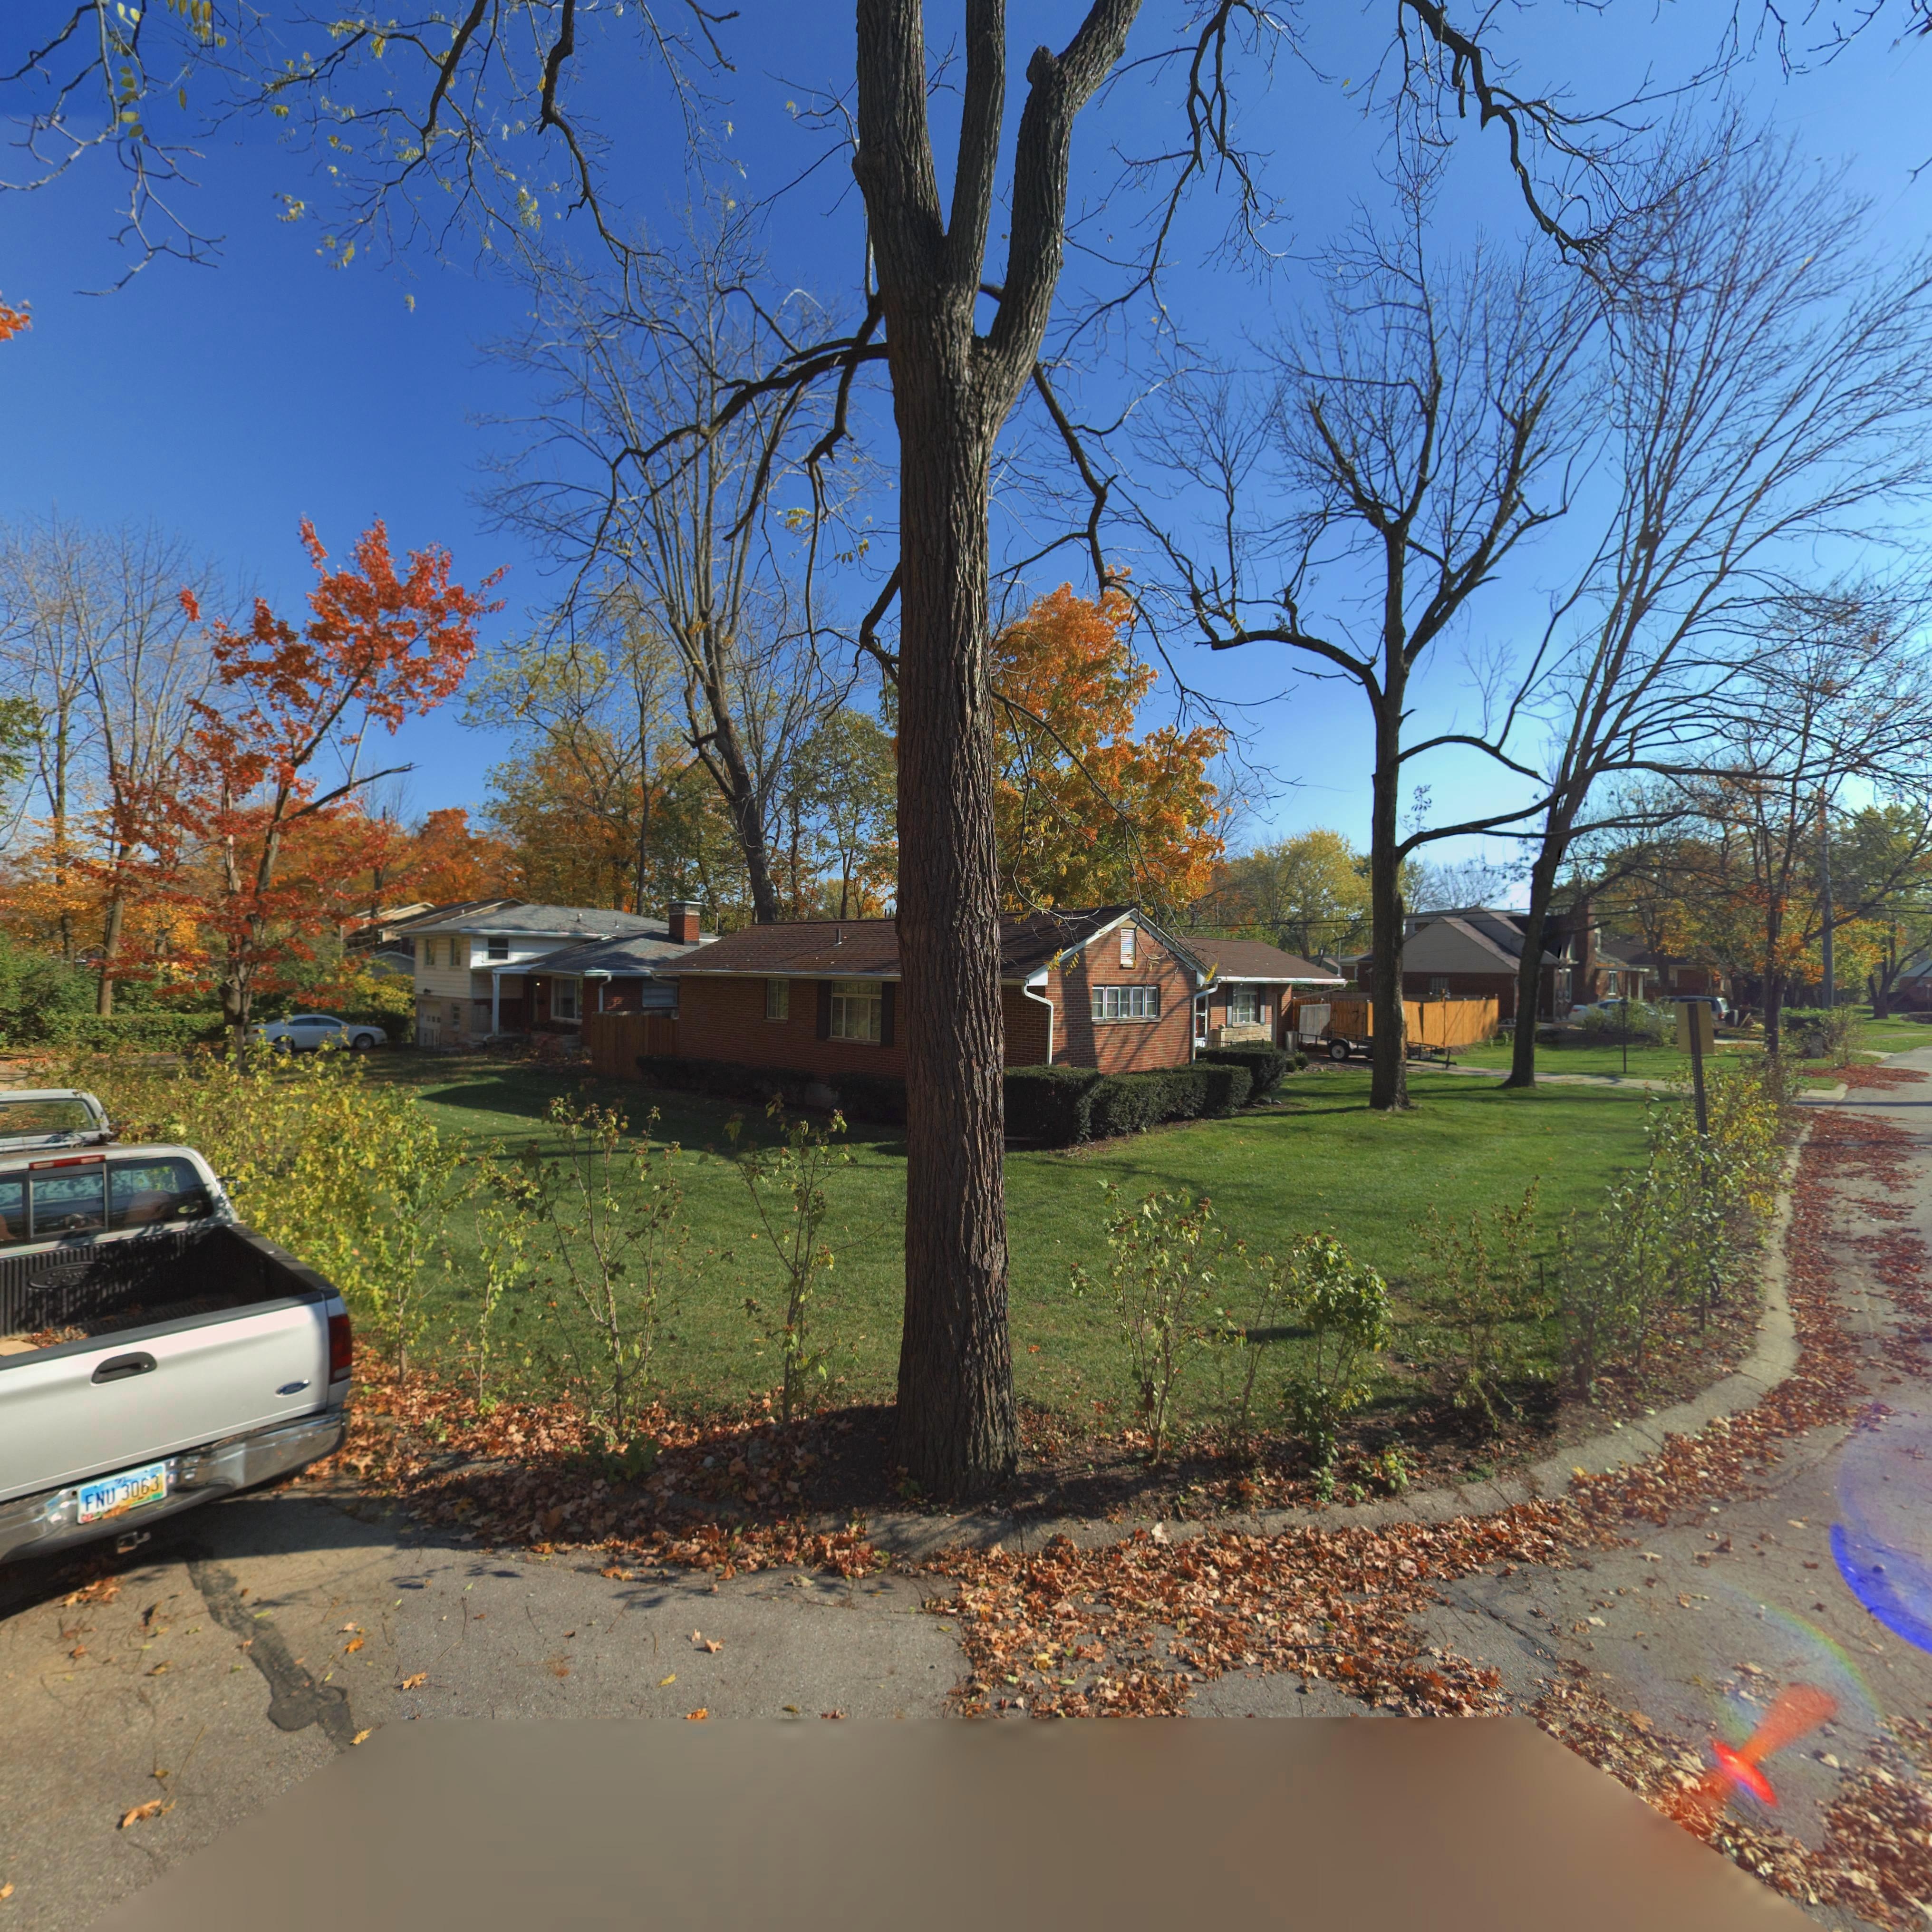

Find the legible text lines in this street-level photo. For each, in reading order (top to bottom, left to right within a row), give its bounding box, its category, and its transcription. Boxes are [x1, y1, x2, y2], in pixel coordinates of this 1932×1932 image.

[85, 1473, 160, 1513] None: FNU*3063